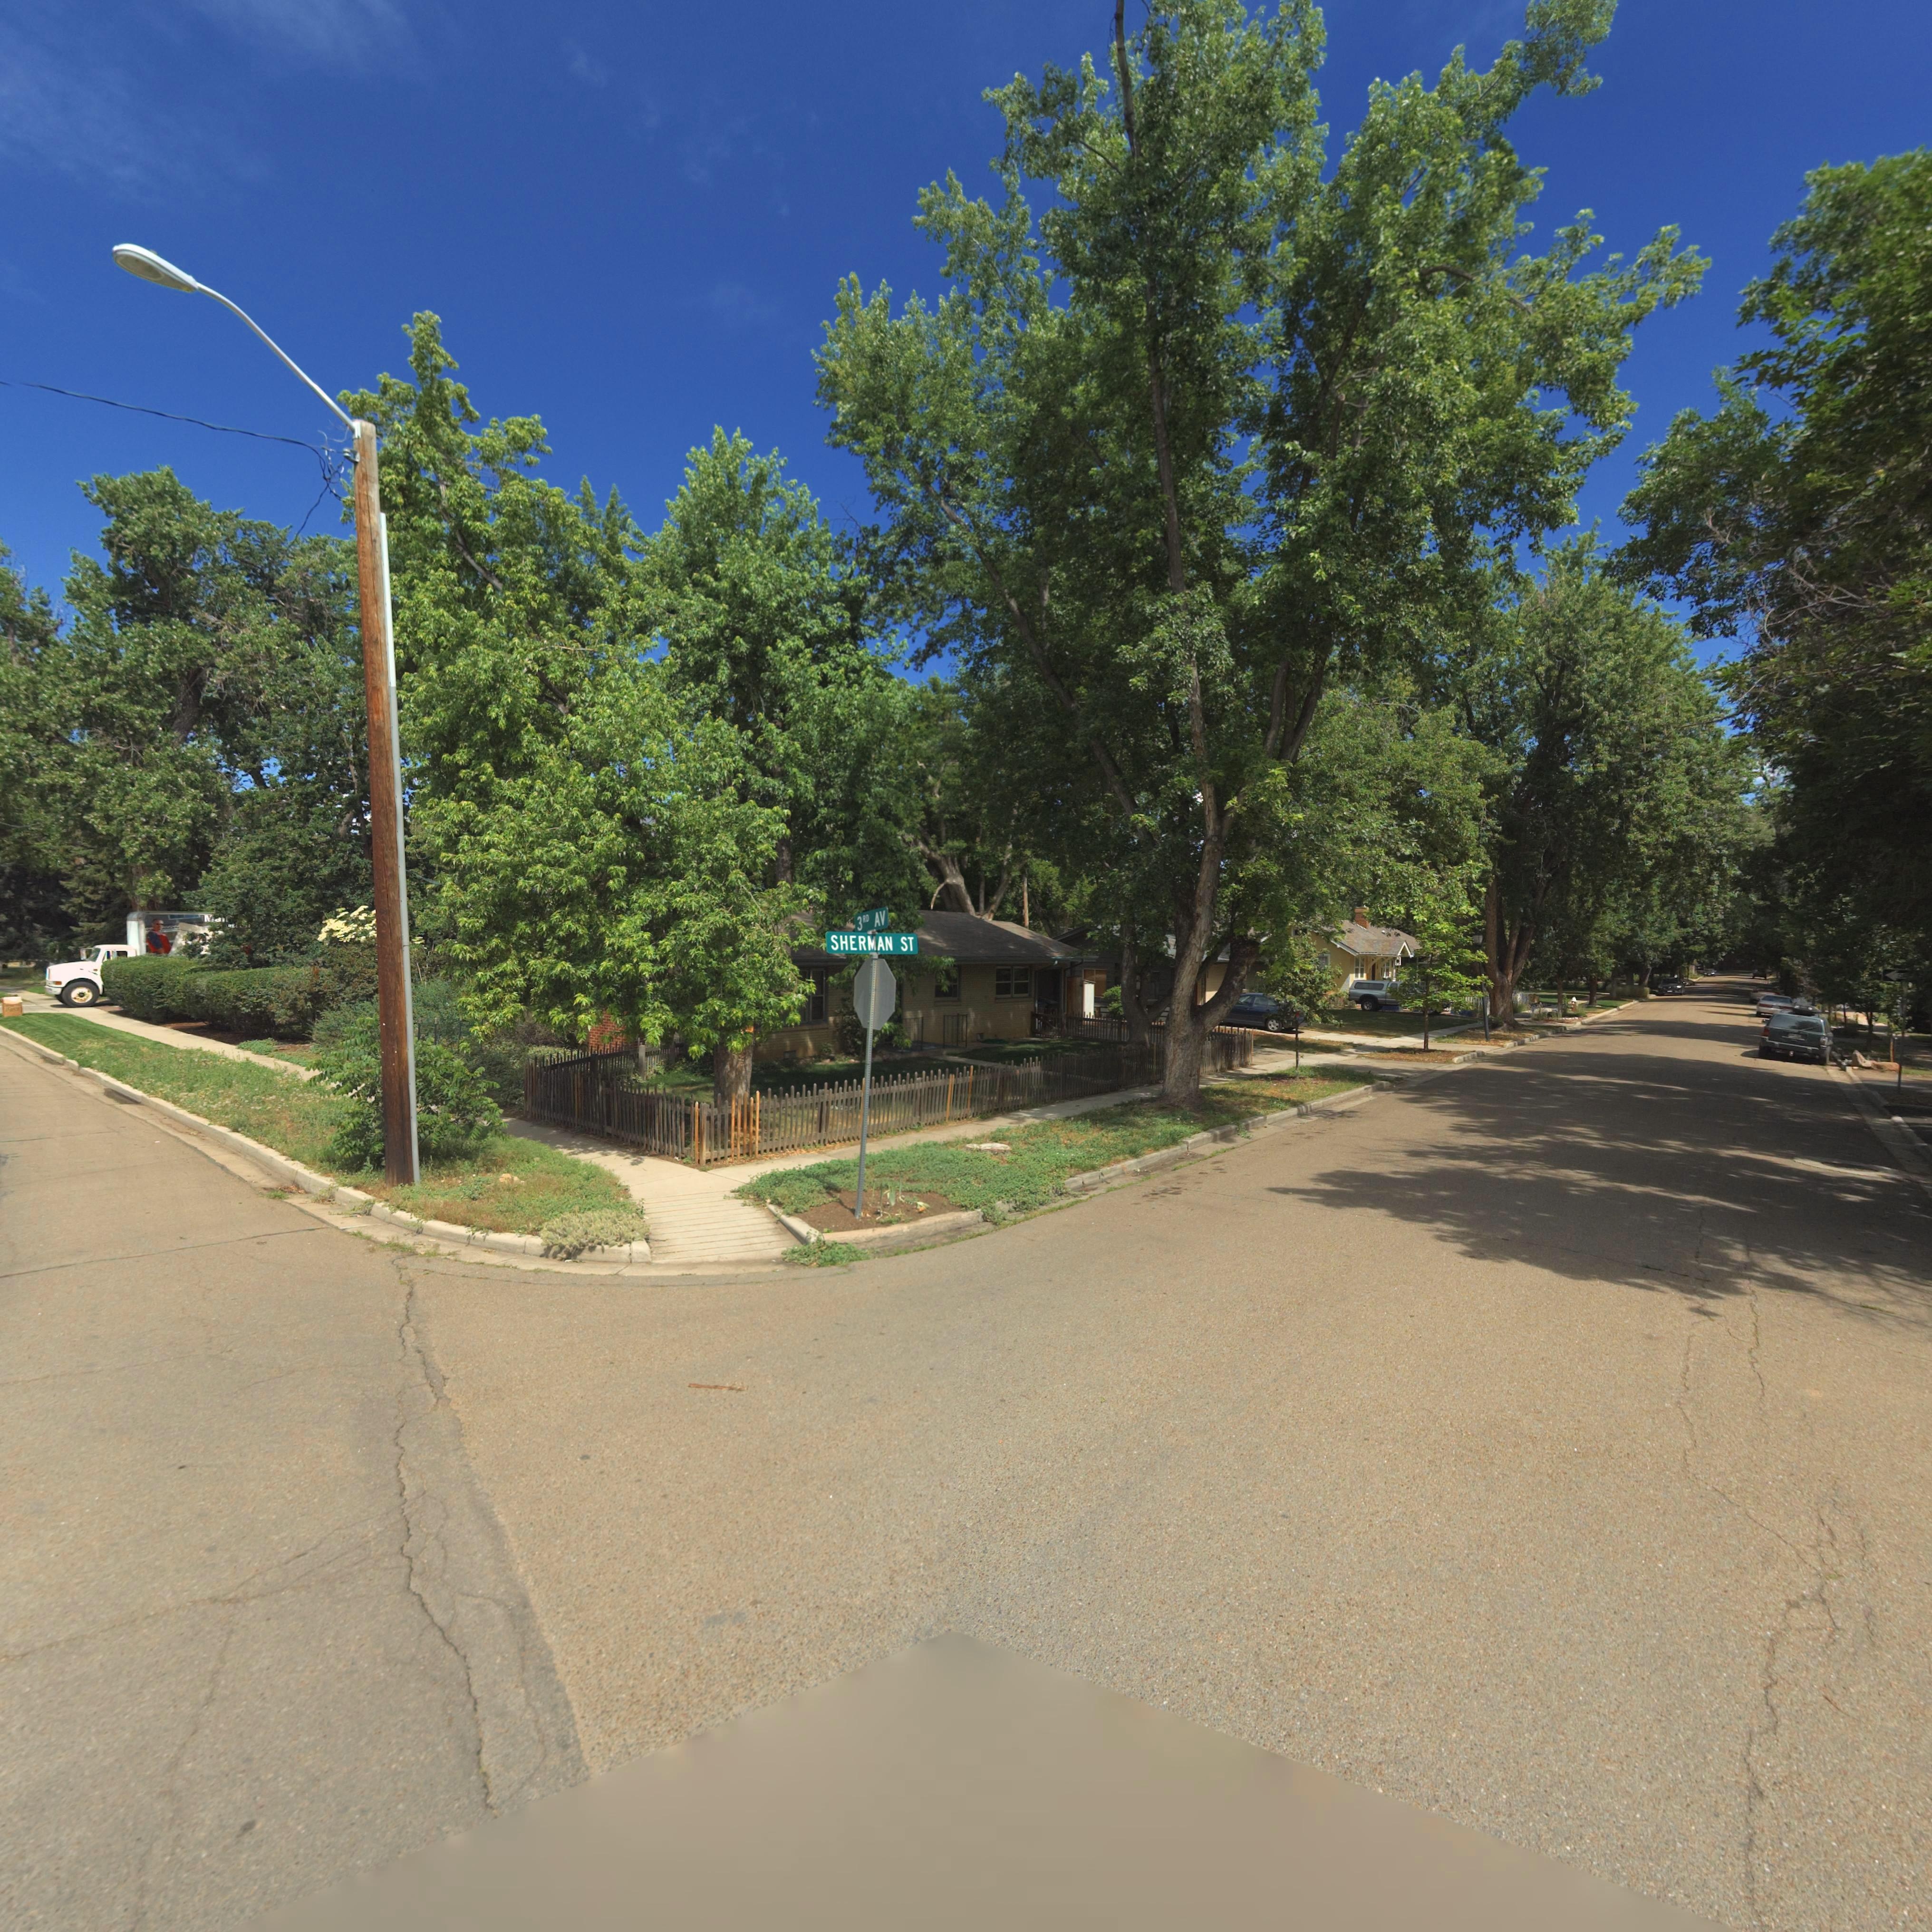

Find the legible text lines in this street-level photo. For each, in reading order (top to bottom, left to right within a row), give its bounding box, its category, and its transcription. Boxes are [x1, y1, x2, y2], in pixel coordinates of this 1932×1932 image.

[857, 909, 885, 931] StreetName: 3RD AV
[831, 935, 914, 951] StreetName: SHERMAN ST